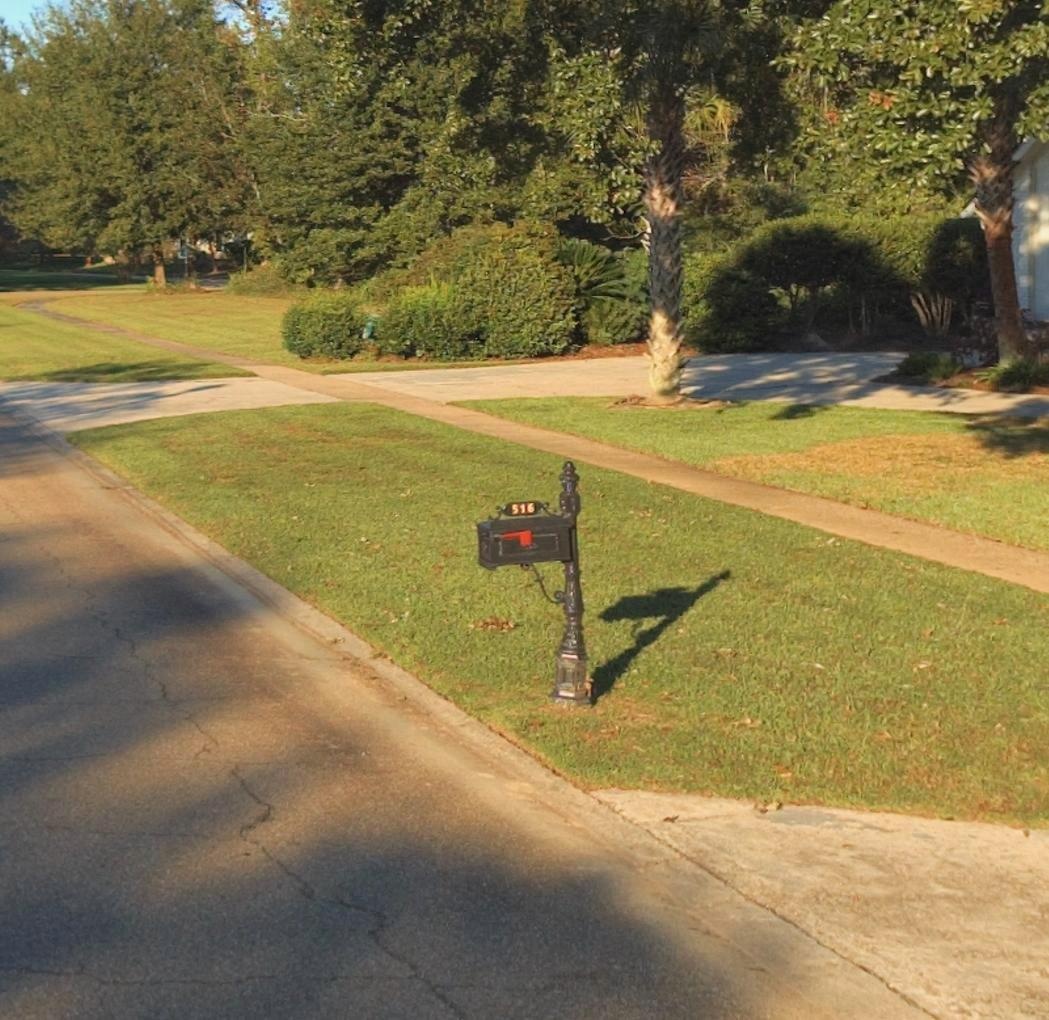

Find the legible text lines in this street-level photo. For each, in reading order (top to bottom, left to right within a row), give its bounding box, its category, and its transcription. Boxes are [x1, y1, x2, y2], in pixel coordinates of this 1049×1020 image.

[511, 502, 536, 515] StreetNumber: 516